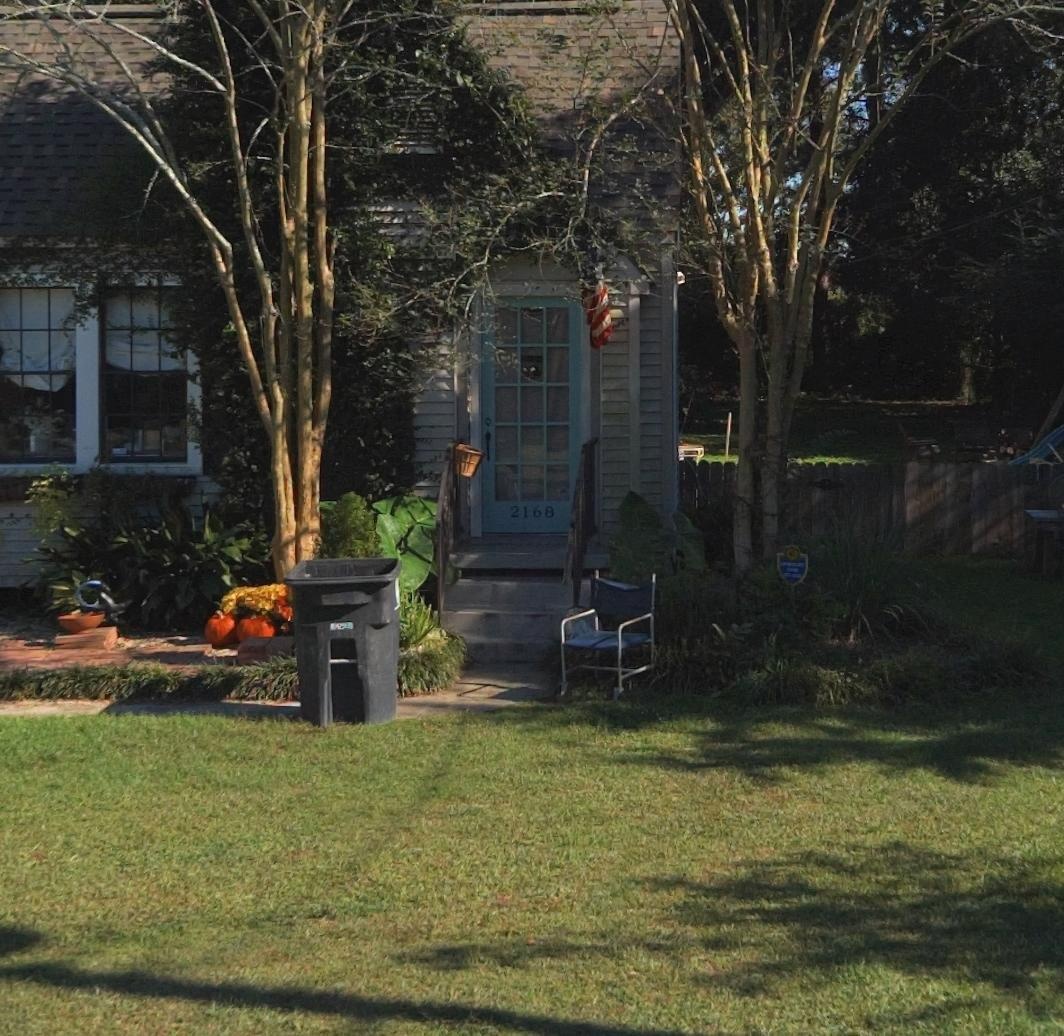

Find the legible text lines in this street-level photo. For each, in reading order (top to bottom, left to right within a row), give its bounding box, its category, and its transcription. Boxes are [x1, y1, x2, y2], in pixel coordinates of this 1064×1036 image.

[508, 503, 556, 520] StreetNumber: 2168